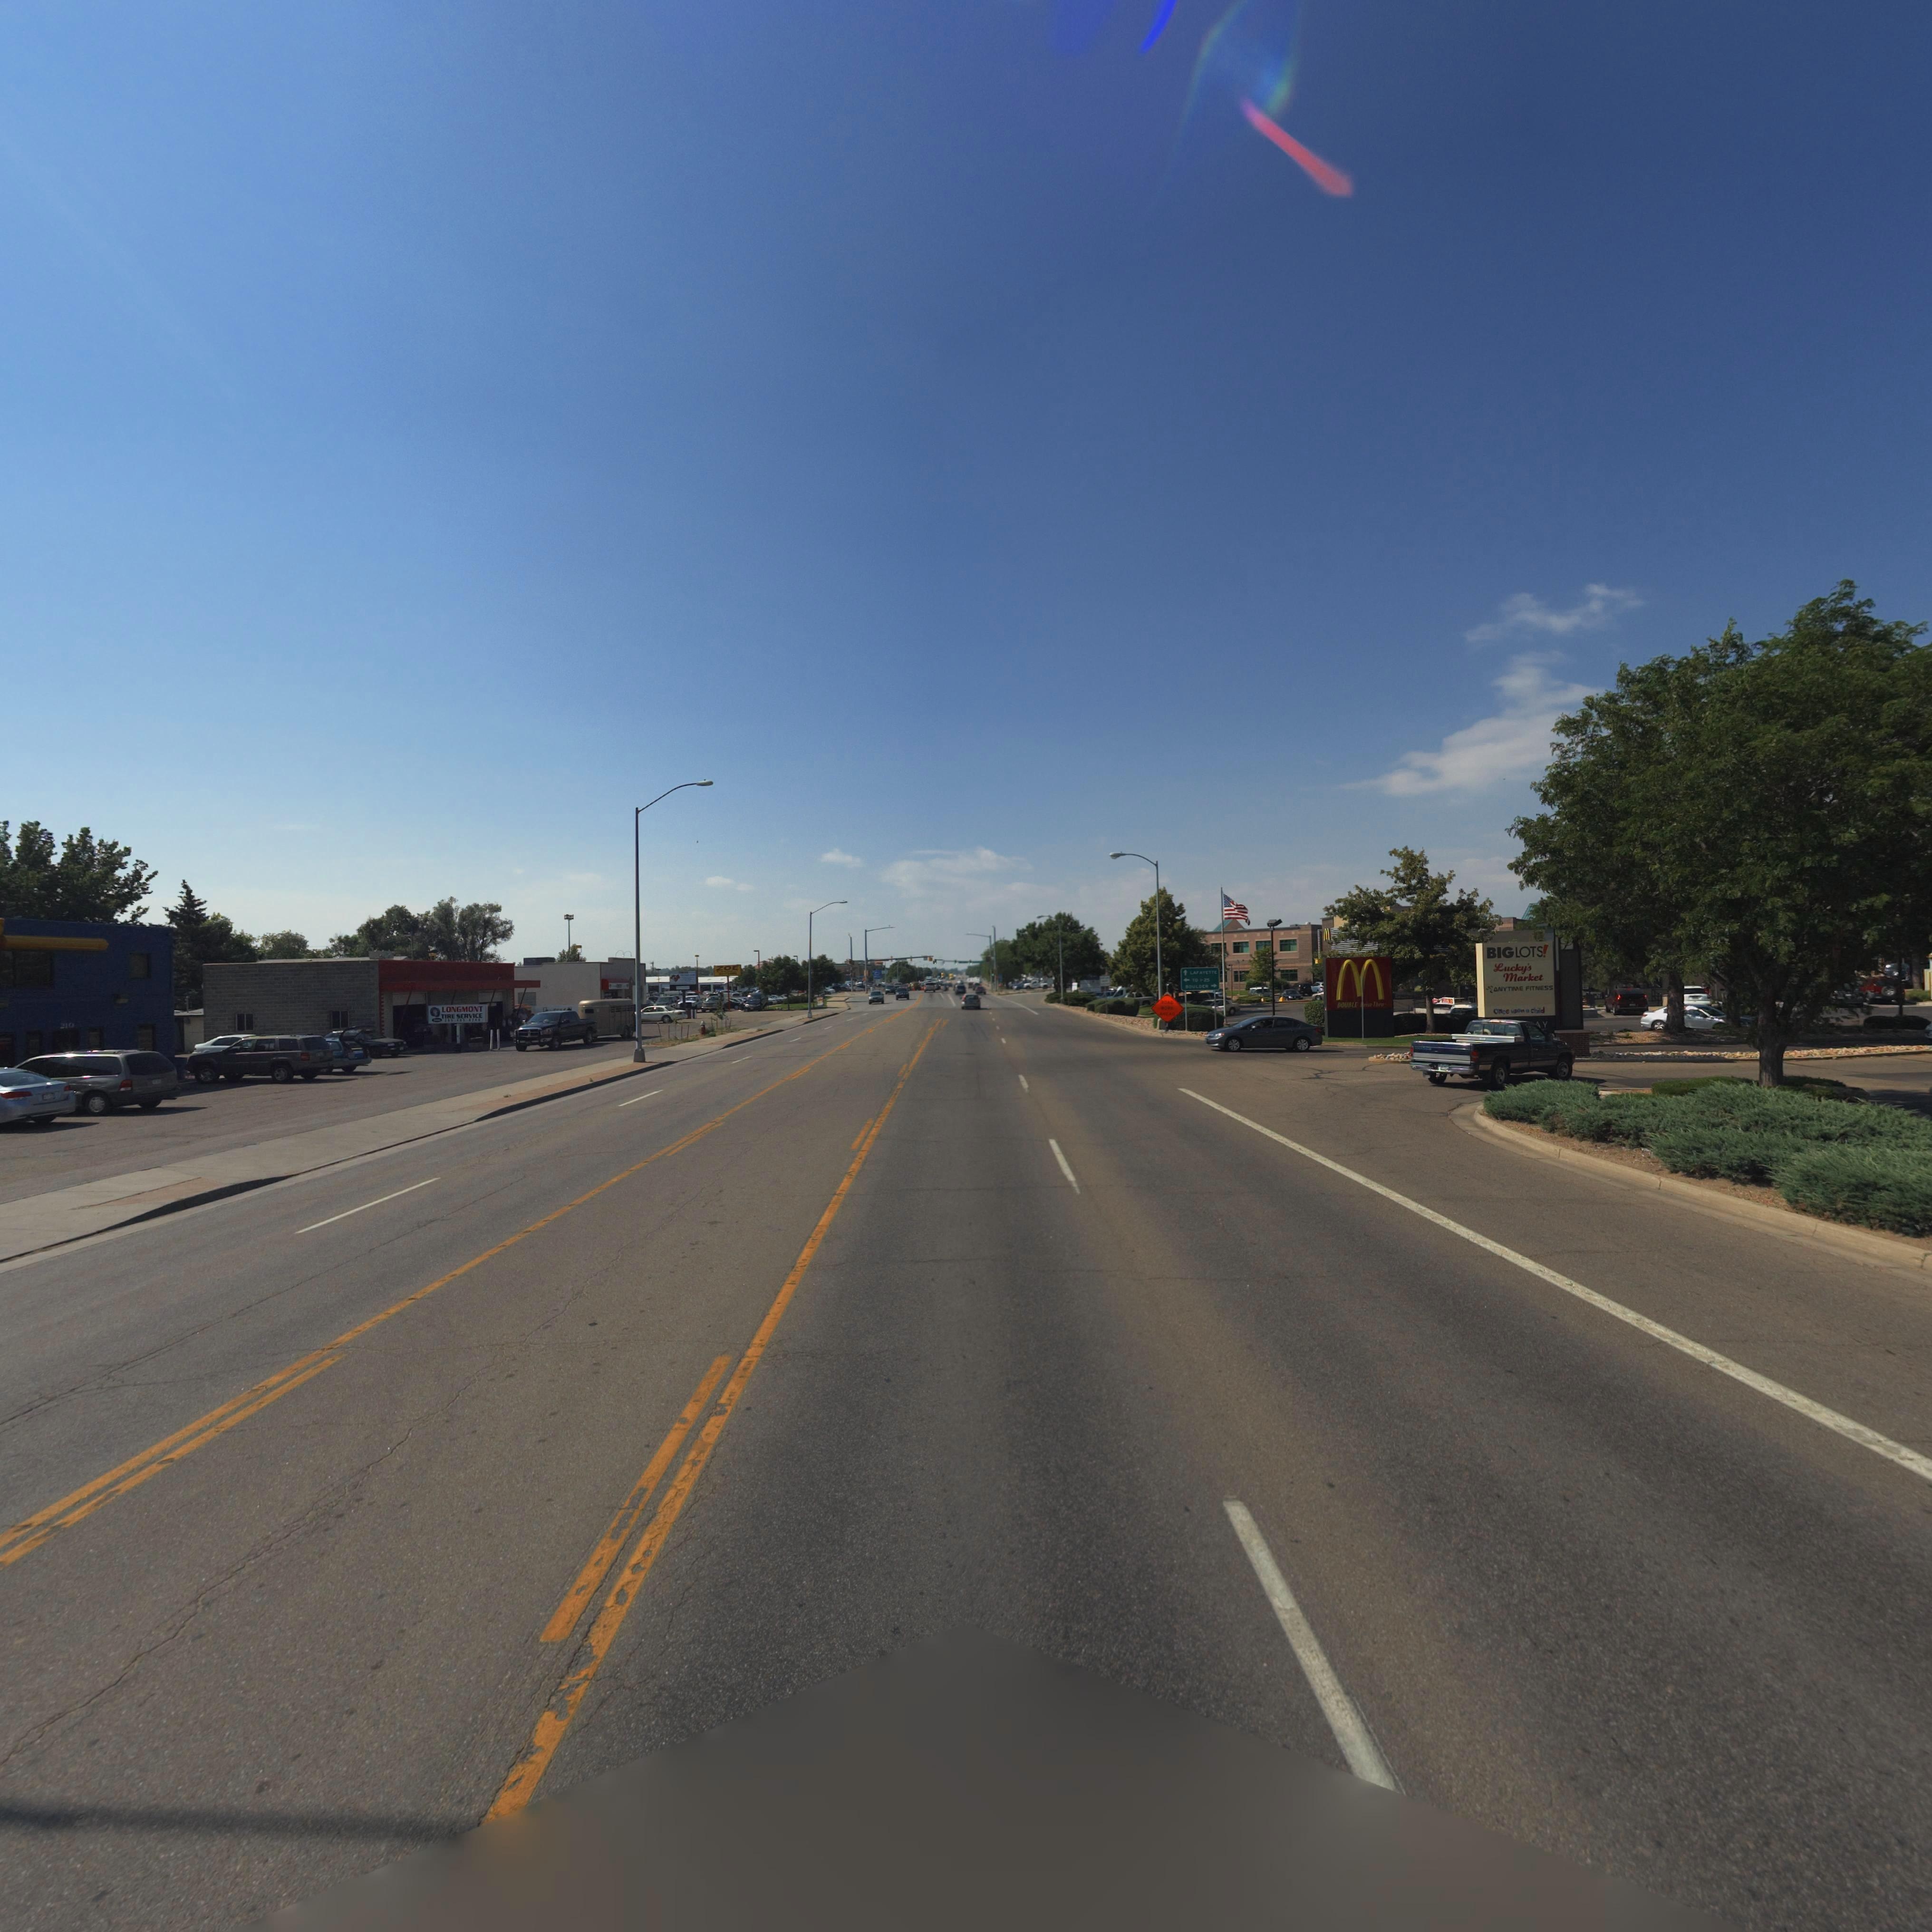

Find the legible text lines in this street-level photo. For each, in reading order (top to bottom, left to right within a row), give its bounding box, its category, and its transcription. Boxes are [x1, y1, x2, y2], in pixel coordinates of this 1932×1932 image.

[1486, 944, 1548, 959] BusinessName: BIG LOTS!
[715, 966, 738, 971] BusinessName: ZOE
[1493, 962, 1532, 975] BusinessName: Lucky's
[1502, 972, 1544, 982] BusinessName: Market
[1493, 985, 1553, 992] BusinessName: ANYTIME FITNESS
[442, 1006, 483, 1012] BusinessName: LONGMONT
[1493, 1006, 1545, 1014] BusinessName: Once upon a child
[440, 1013, 483, 1019] BusinessName: TIRE SERVICE
[59, 1022, 75, 1029] StreetNumber: 210